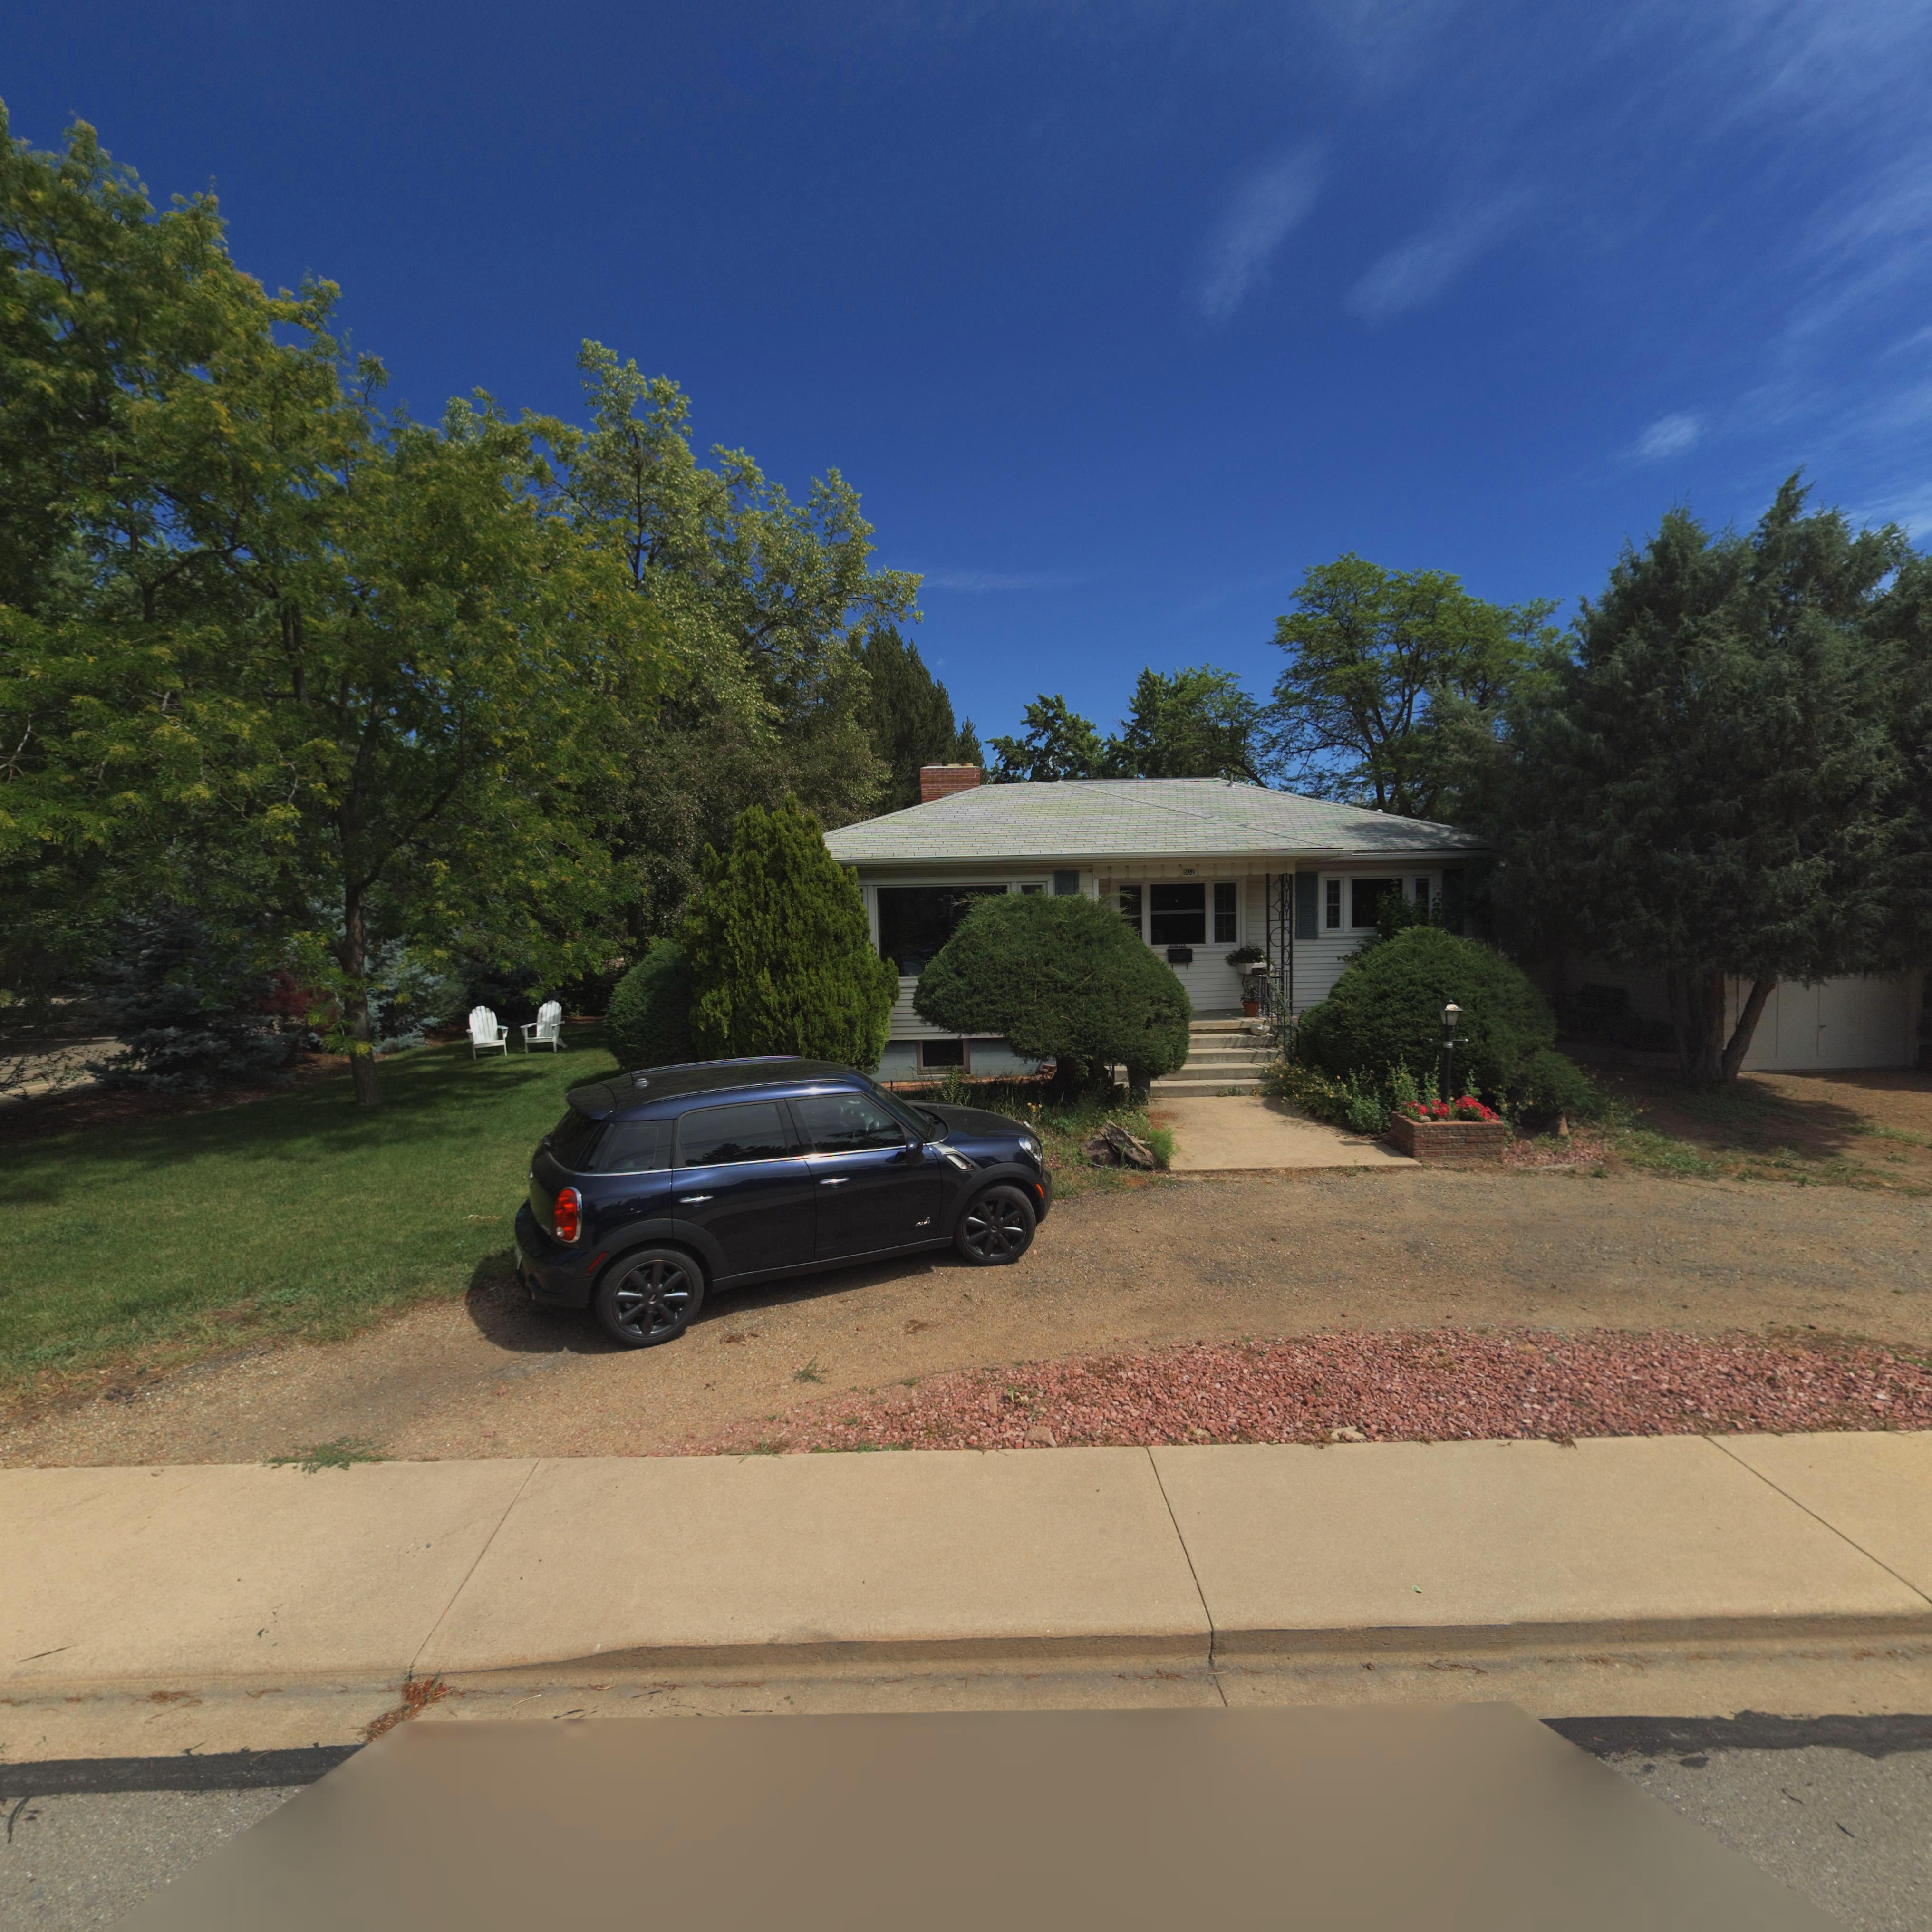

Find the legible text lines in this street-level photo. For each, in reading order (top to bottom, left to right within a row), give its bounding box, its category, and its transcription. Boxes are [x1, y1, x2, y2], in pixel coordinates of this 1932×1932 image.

[1182, 869, 1195, 875] StreetNumber: 802